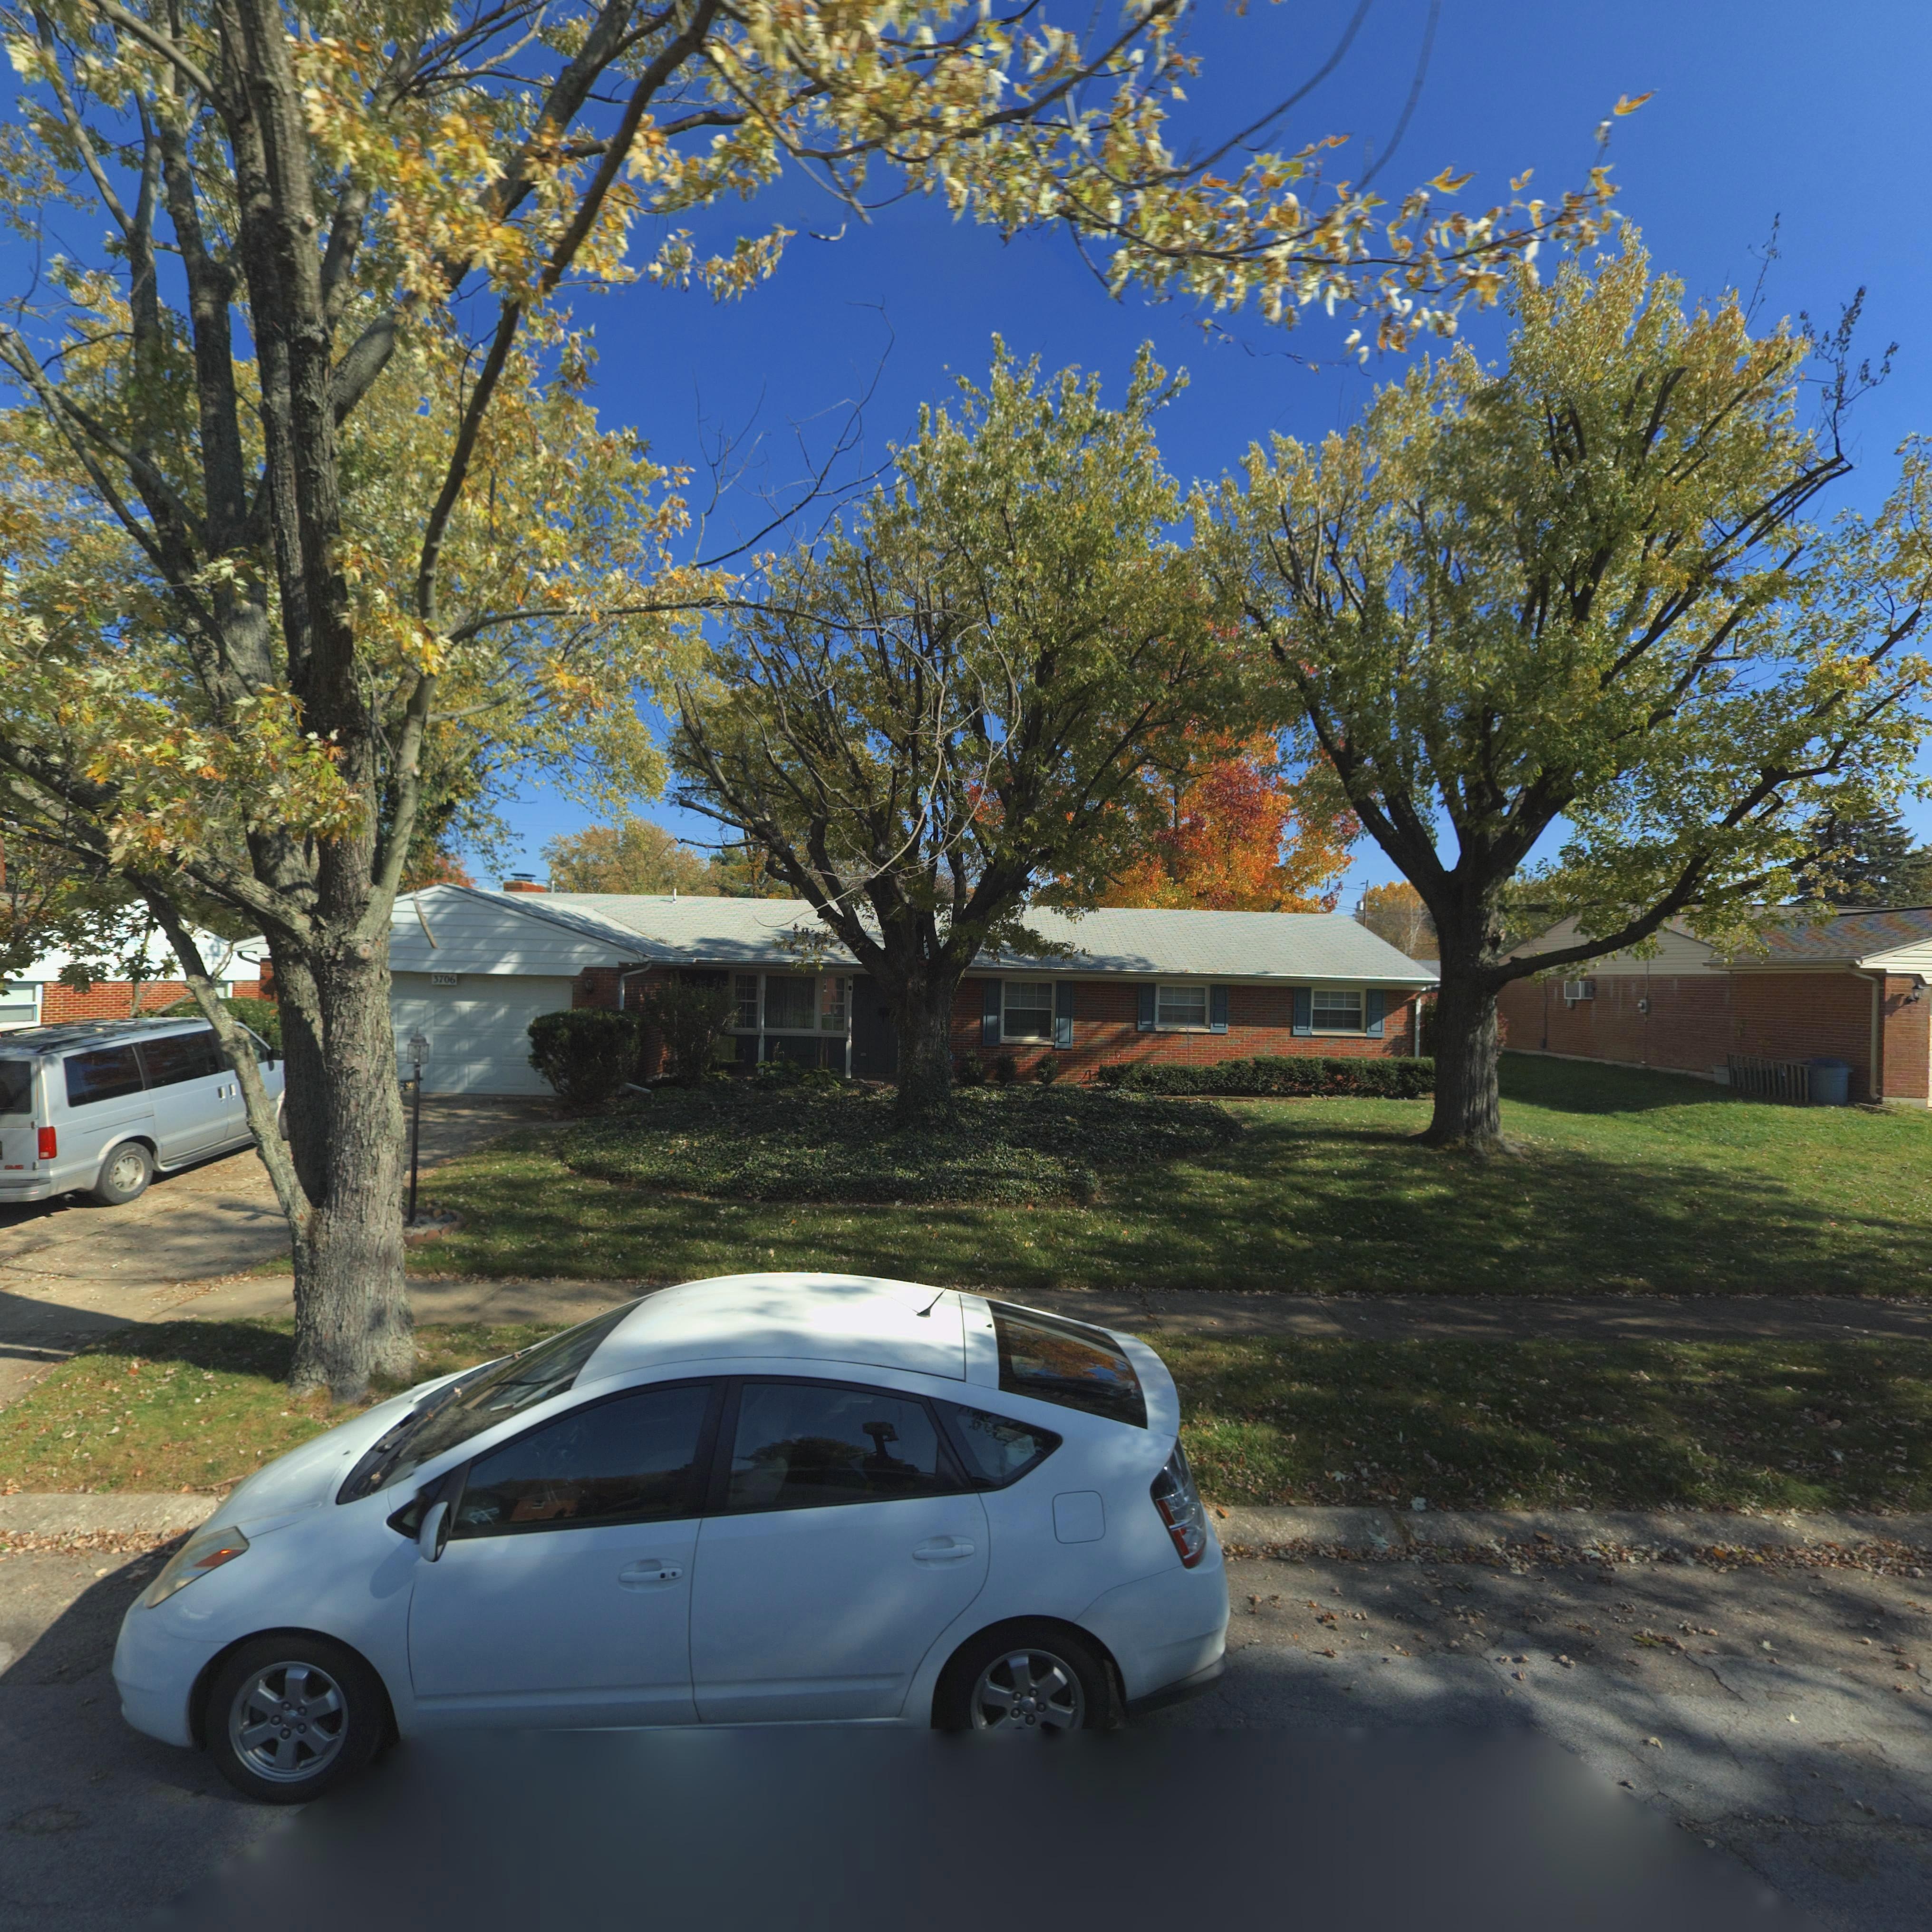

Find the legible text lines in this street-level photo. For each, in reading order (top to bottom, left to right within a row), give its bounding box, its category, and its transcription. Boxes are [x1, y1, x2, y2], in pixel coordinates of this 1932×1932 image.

[431, 973, 457, 985] StreetNumber: 3706